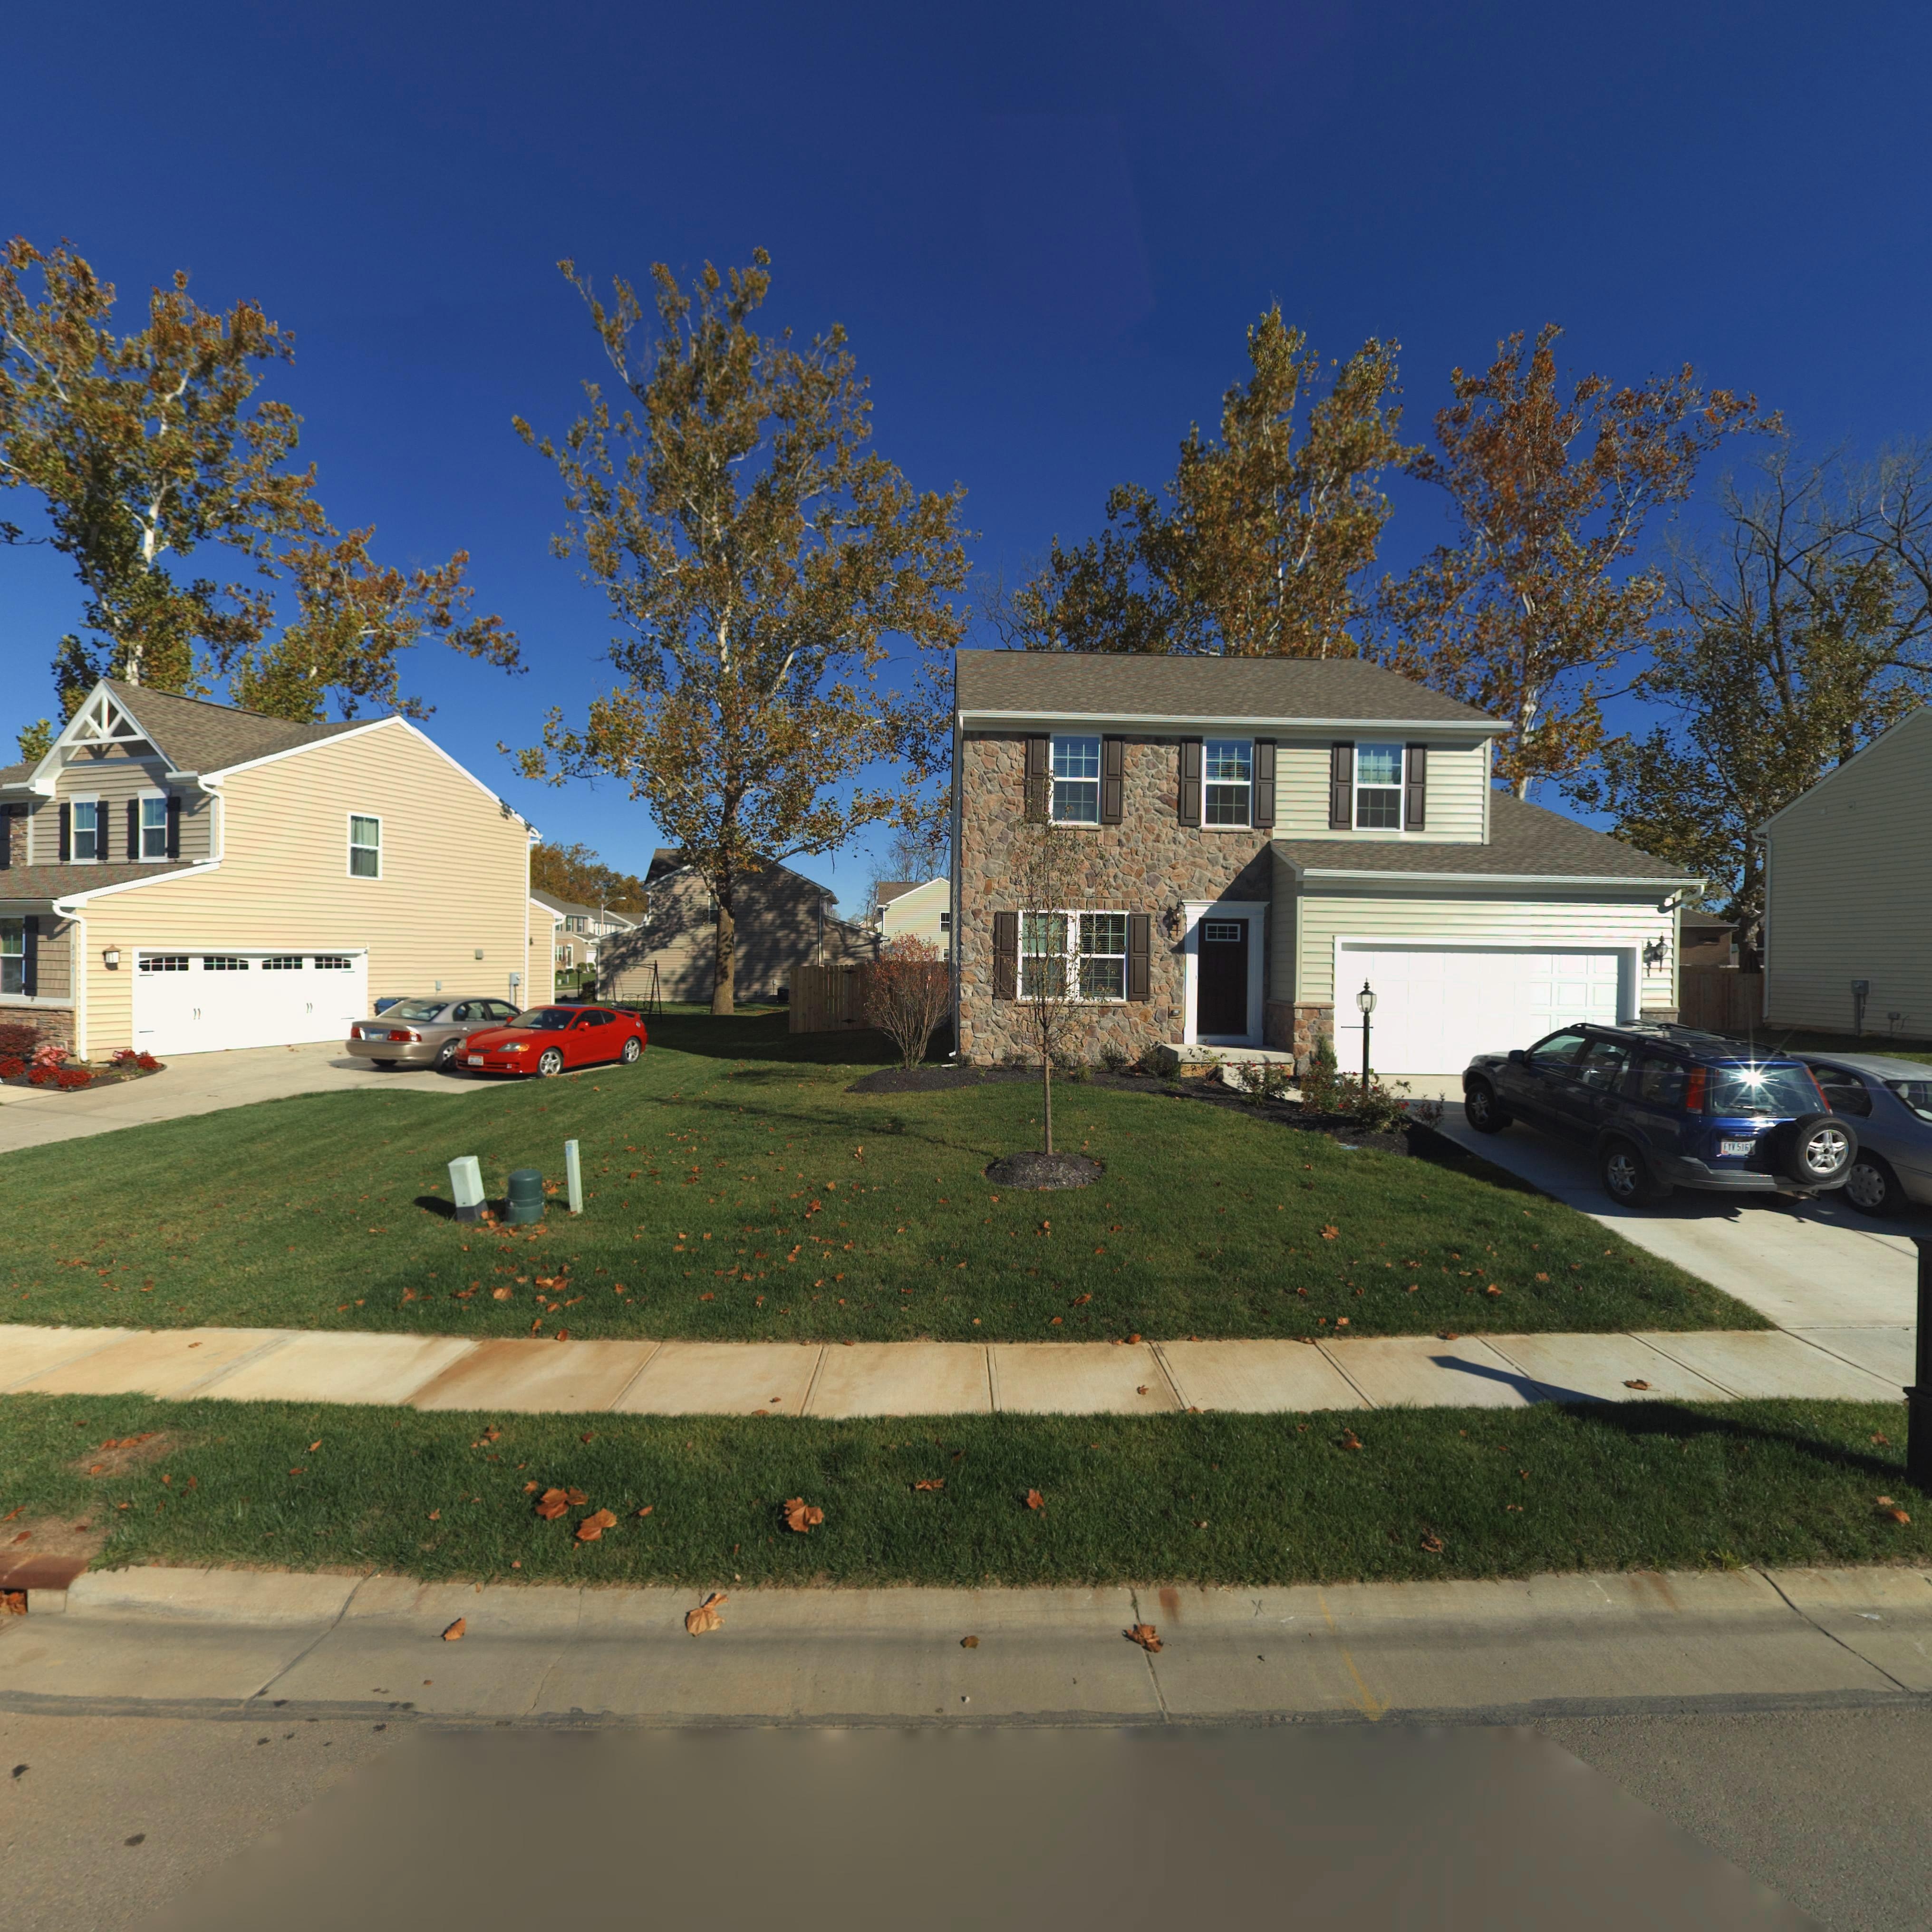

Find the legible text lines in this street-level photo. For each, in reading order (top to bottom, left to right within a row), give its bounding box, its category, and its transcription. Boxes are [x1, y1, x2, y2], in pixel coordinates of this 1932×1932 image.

[70, 944, 76, 973] StreetNumber: 3101